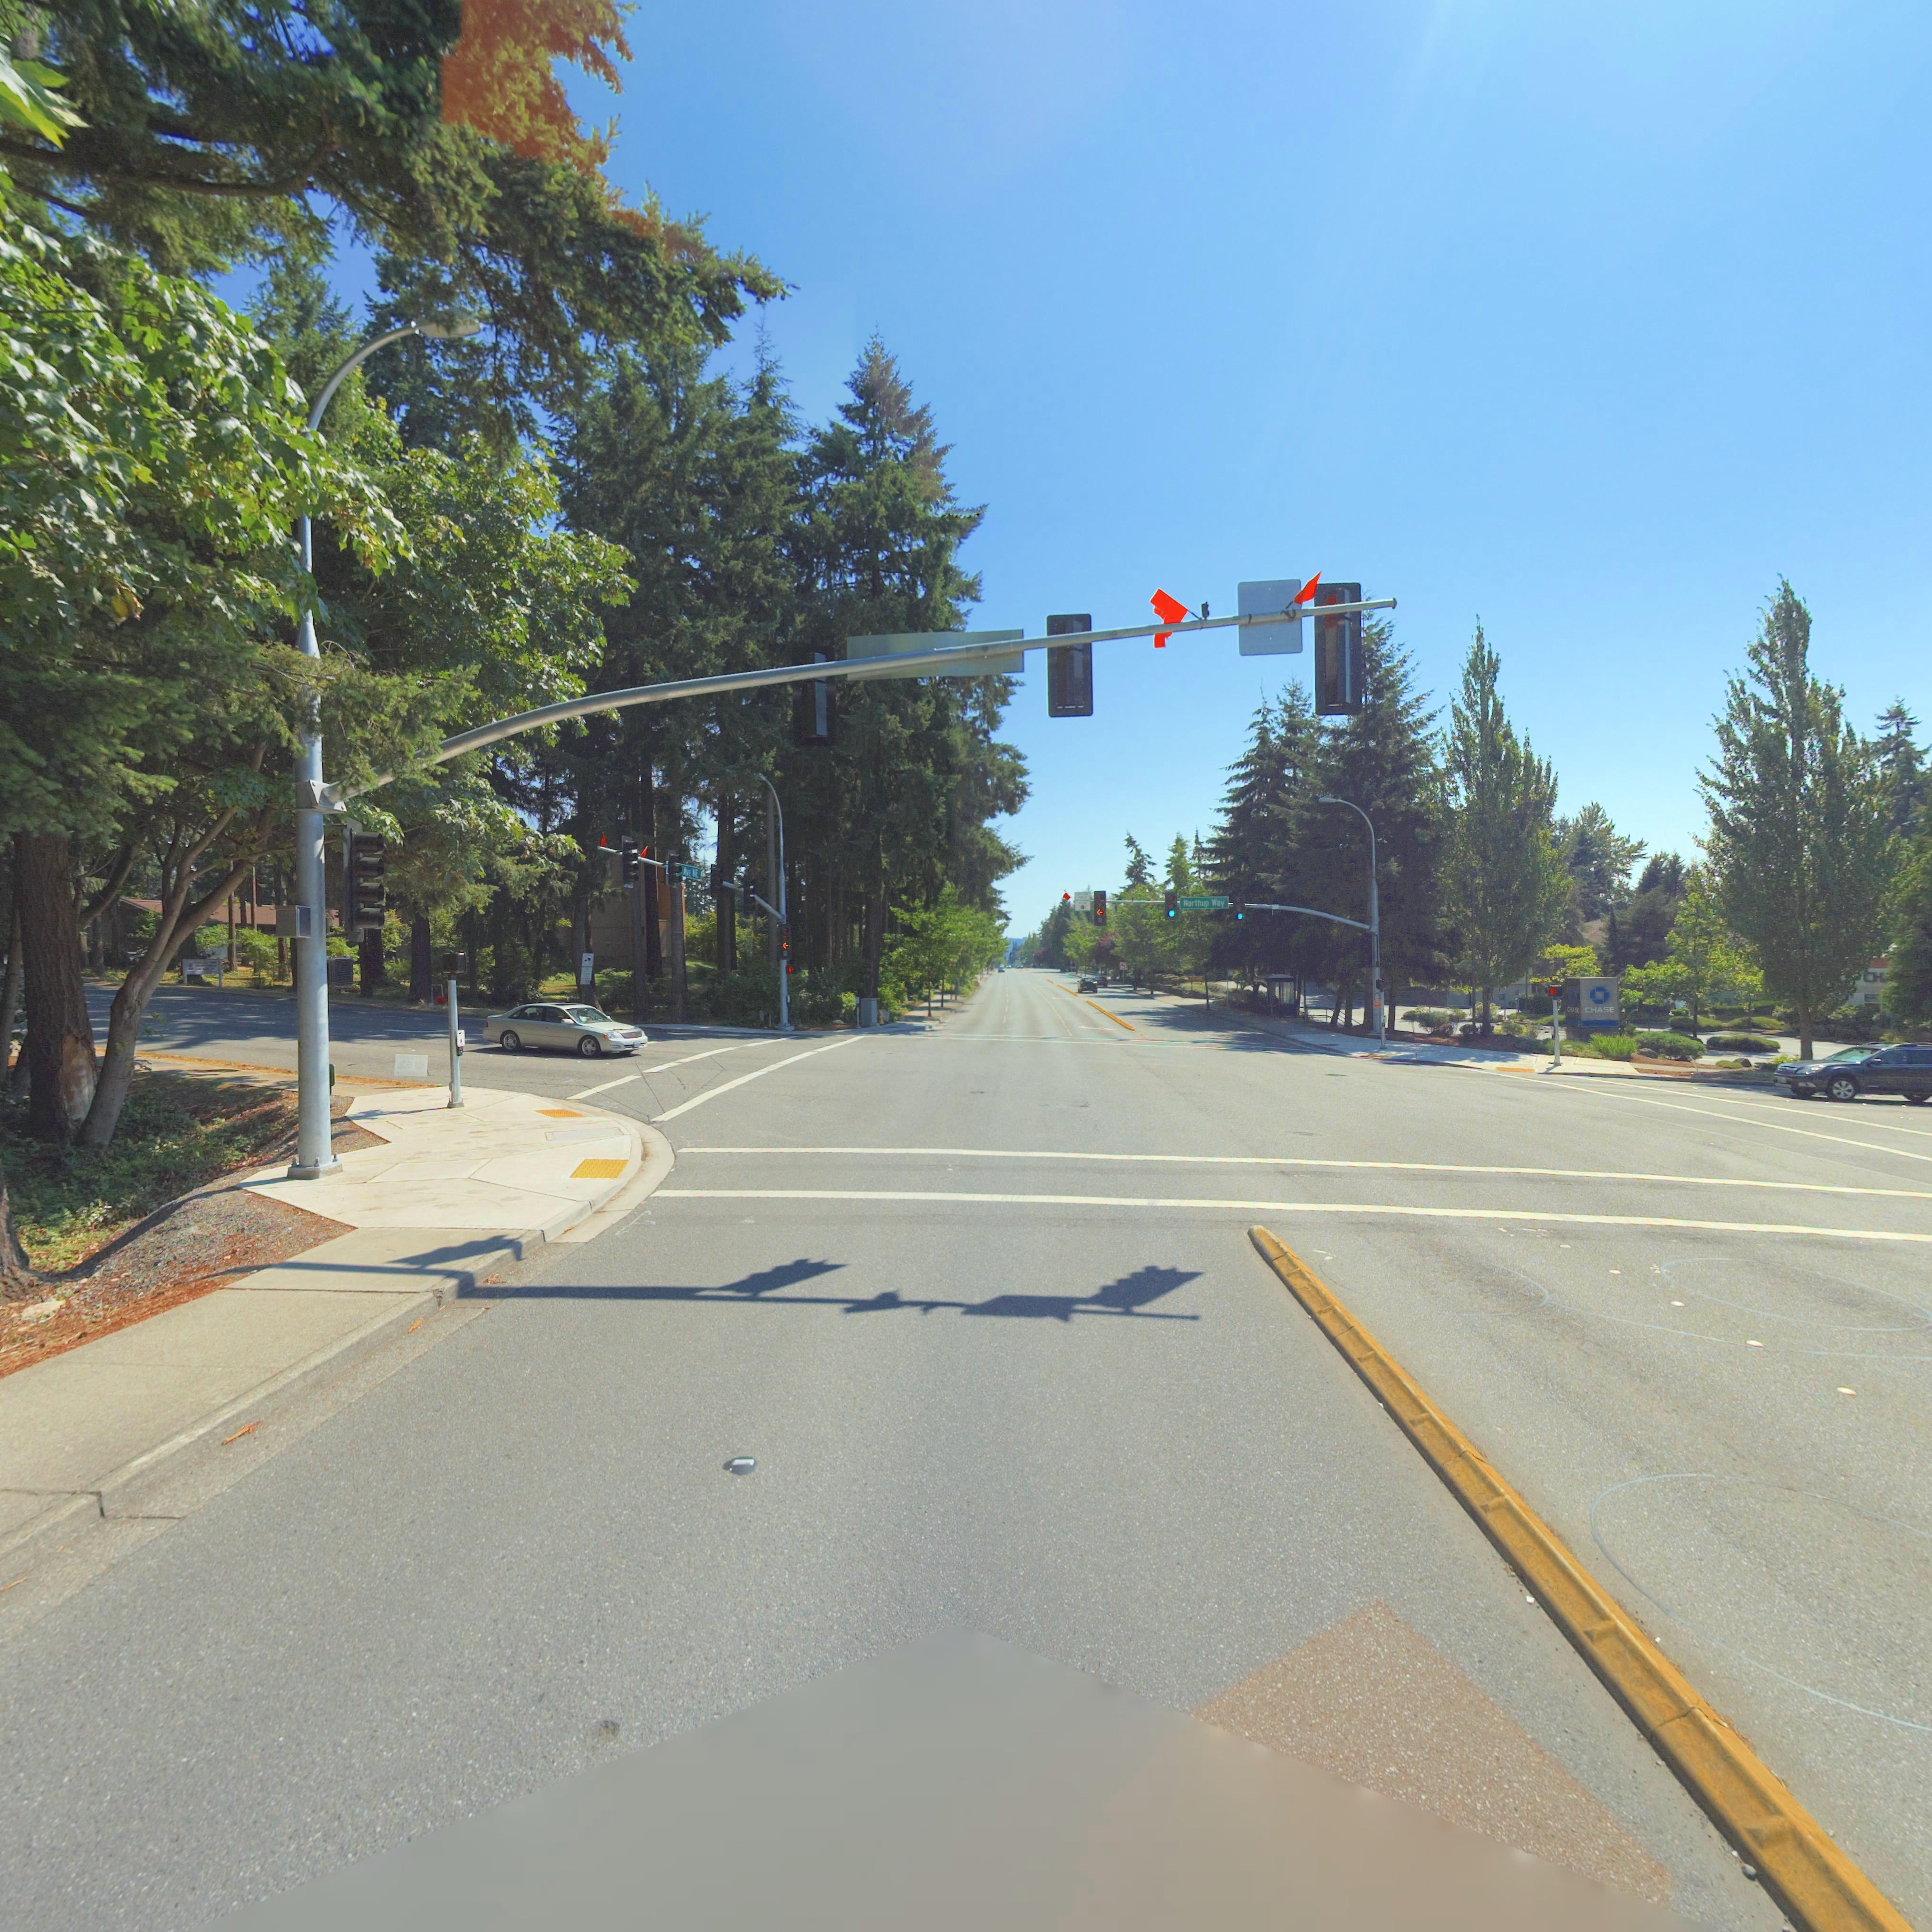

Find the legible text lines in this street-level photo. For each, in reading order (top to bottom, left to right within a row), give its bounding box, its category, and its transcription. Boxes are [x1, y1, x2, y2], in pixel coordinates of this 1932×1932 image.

[682, 865, 699, 879] StreetName: Ave NE
[1182, 898, 1226, 907] StreetName: Northup way
[1584, 1006, 1615, 1013] BusinessName: CHASE